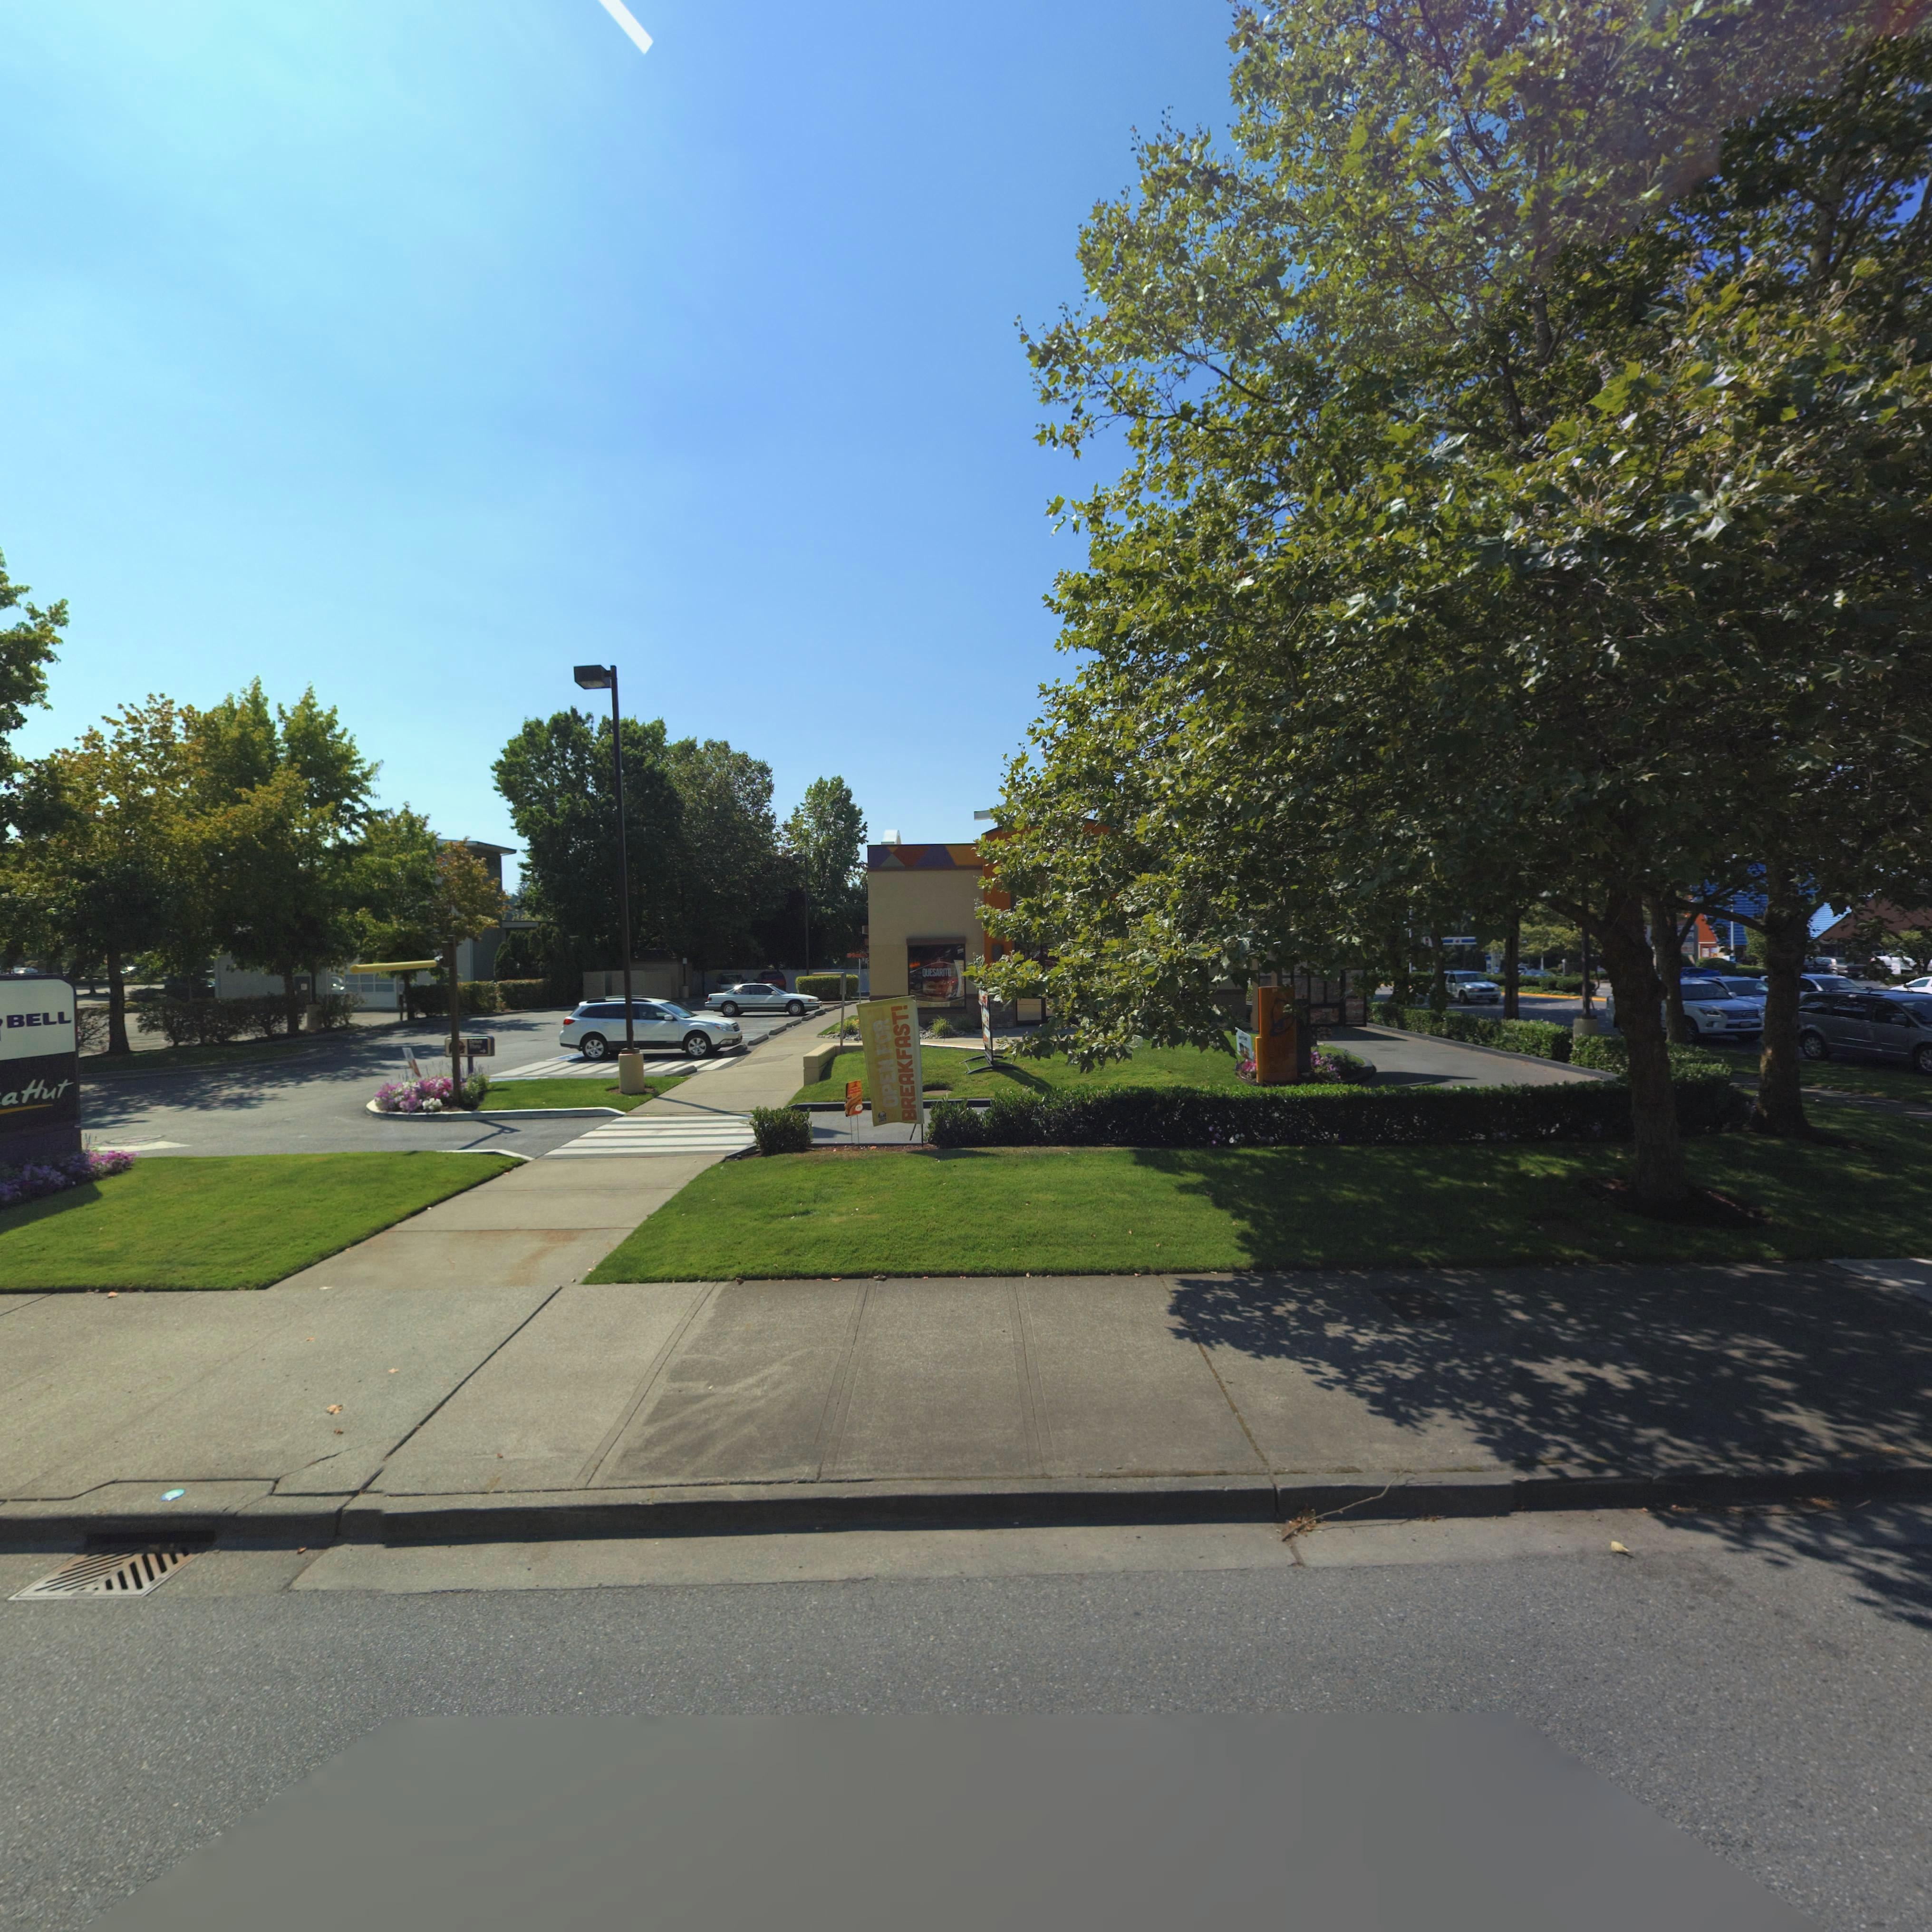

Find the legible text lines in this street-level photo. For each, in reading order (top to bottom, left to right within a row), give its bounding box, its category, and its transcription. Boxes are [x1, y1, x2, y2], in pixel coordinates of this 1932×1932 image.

[7, 1012, 72, 1028] BusinessName: BELL
[0, 1077, 76, 1106] BusinessName: aHut